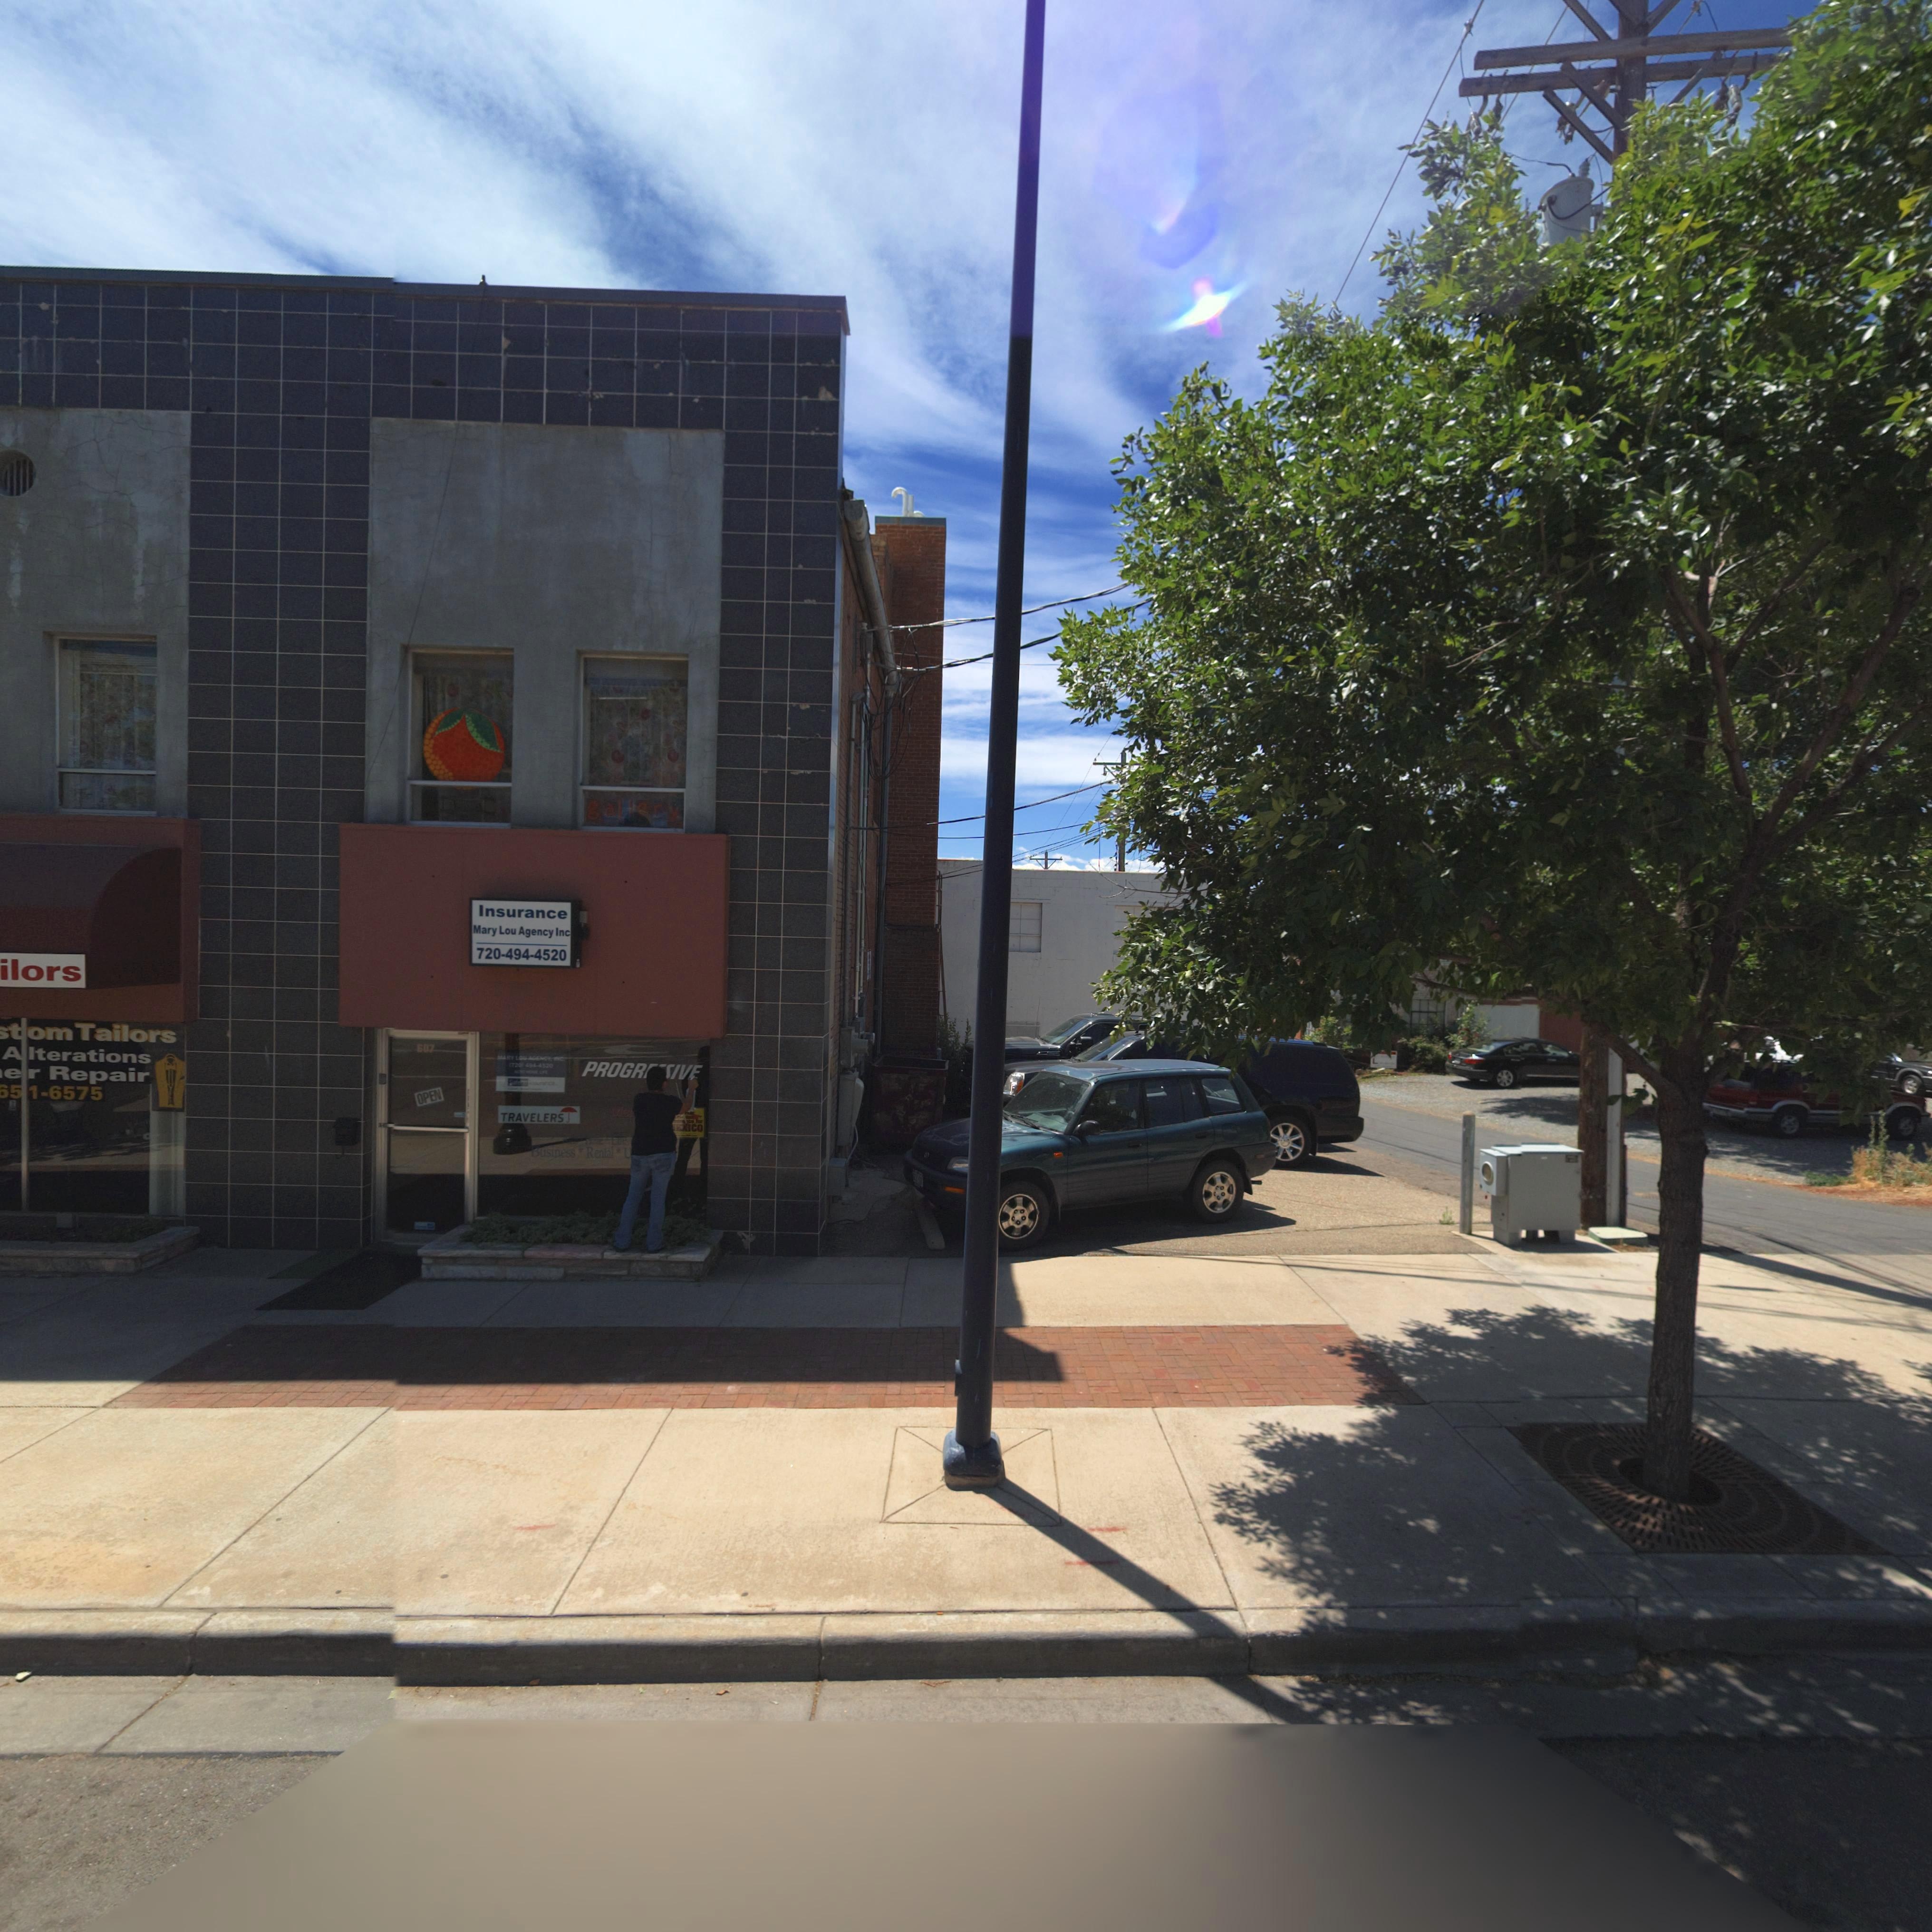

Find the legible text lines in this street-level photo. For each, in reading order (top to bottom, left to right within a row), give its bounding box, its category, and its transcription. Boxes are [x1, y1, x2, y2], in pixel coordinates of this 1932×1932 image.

[473, 925, 570, 938] BusinessName: Mary Lou Agency Inc
[0, 958, 81, 982] BusinessName: ilors
[0, 1022, 176, 1043] BusinessName: stom Tailors
[416, 1043, 435, 1053] StreetNumber: *07
[0, 1084, 104, 1101] PhoneNumber: 35 1-6575